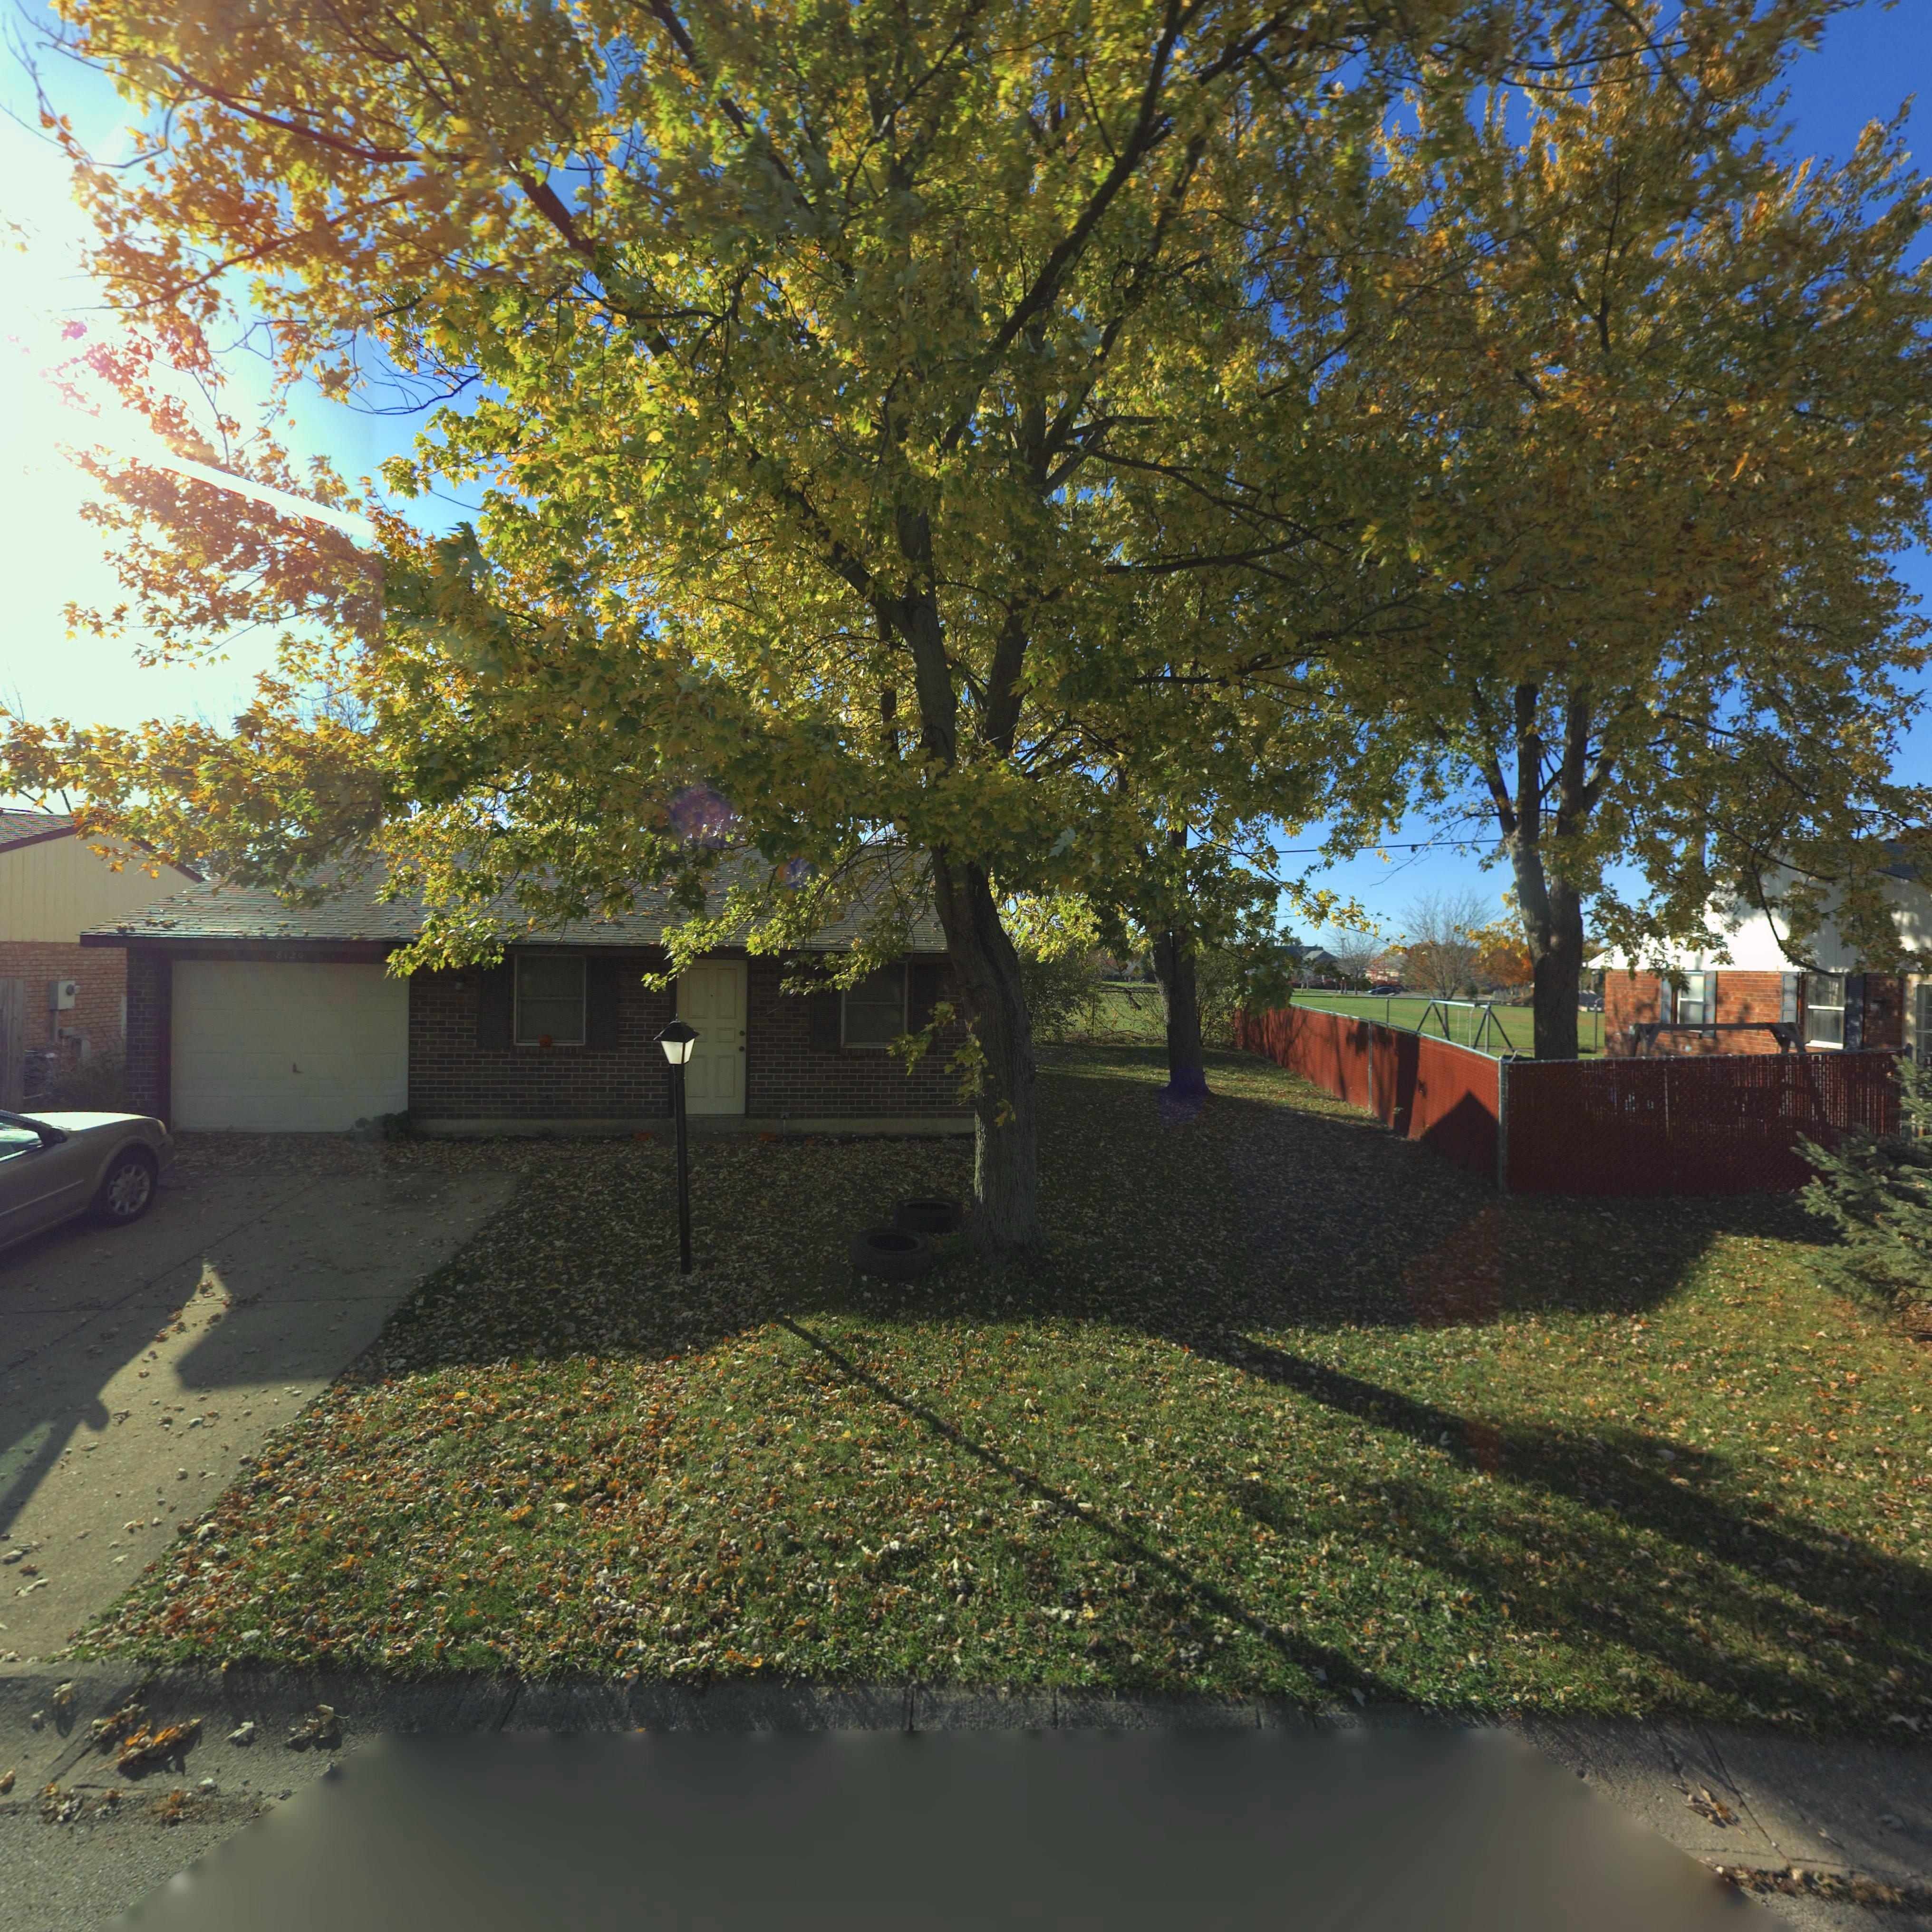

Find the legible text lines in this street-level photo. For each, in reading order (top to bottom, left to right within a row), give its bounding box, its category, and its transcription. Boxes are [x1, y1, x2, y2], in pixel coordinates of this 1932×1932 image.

[274, 950, 305, 960] StreetNumber: 8120